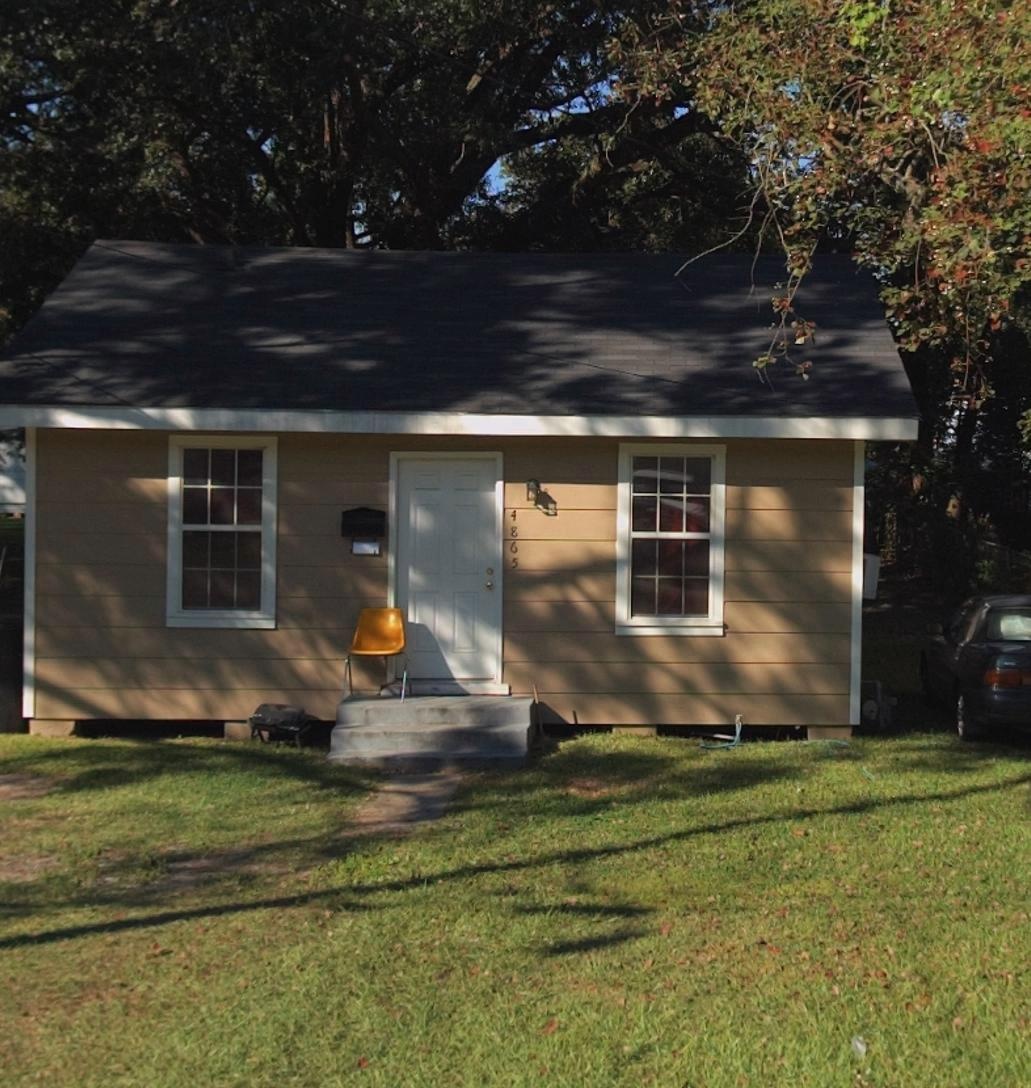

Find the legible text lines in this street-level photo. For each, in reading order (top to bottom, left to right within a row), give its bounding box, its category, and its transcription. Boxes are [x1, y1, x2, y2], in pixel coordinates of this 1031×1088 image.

[509, 509, 520, 570] StreetNumber: 4865